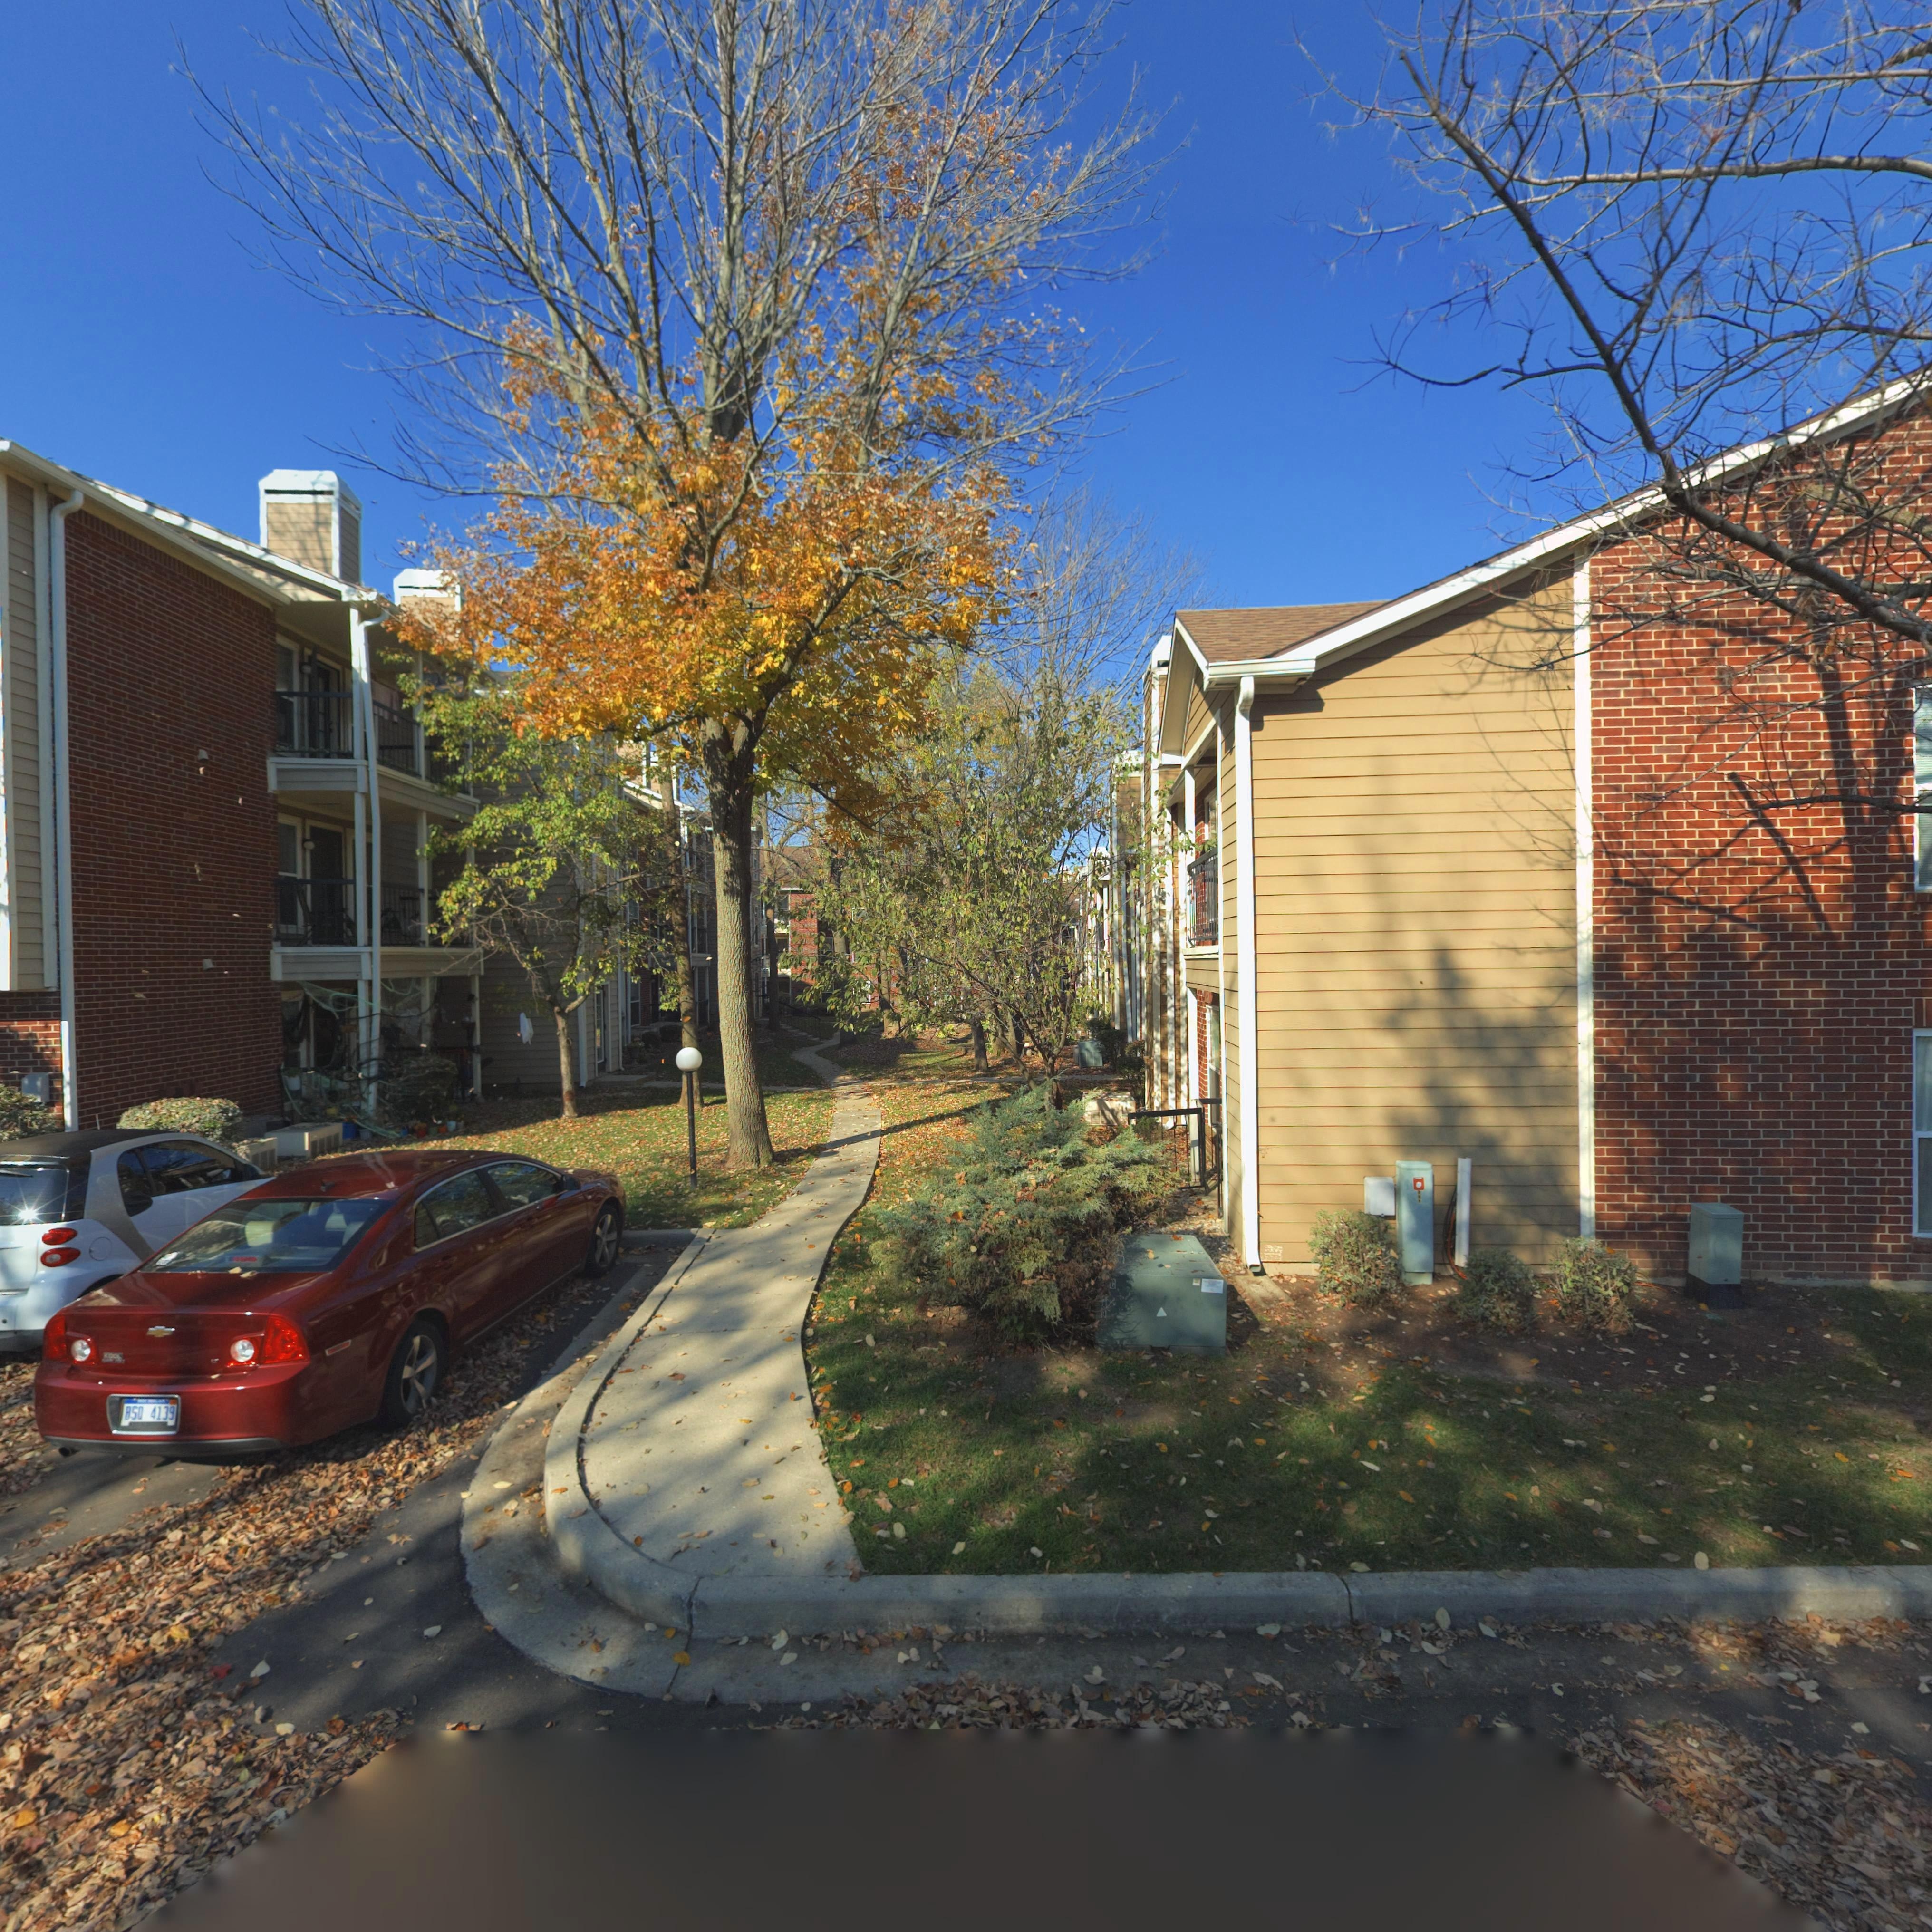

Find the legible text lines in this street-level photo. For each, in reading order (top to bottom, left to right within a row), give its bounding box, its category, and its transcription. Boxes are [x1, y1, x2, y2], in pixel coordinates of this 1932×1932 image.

[103, 1352, 122, 1359] None: KOOL
[210, 1358, 219, 1364] None: LT
[123, 1405, 176, 1421] None: BSQ*4139